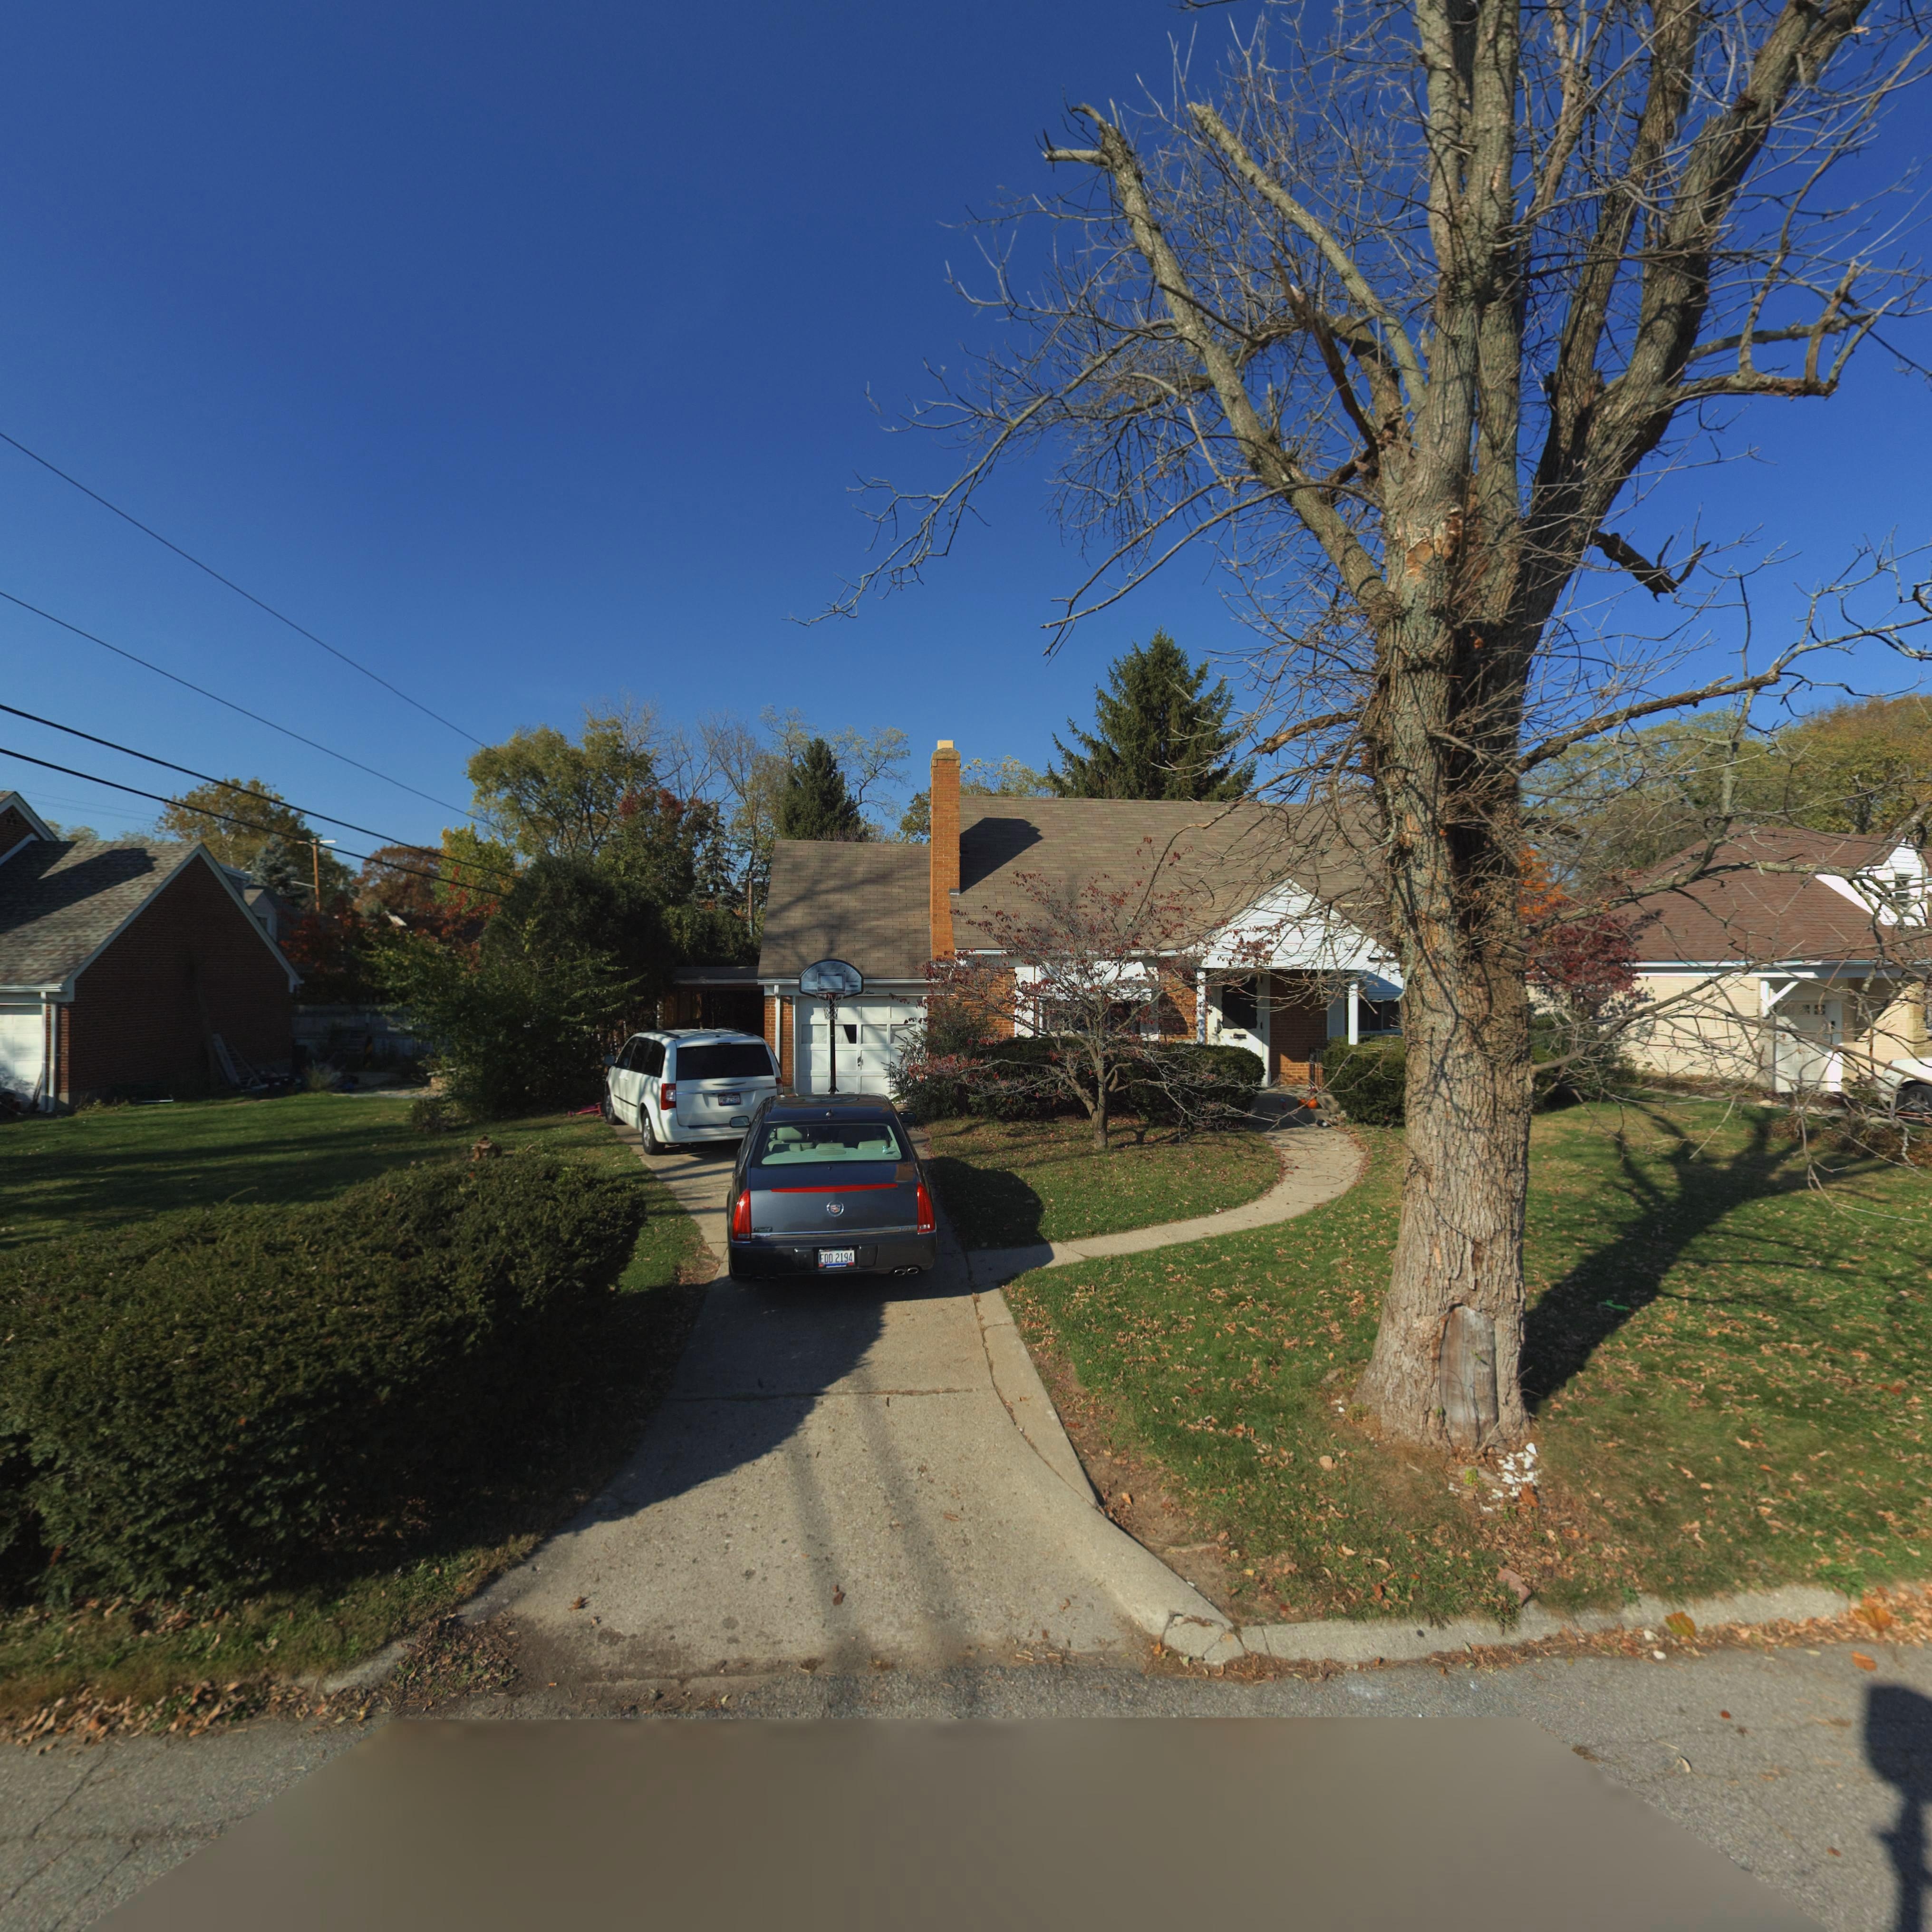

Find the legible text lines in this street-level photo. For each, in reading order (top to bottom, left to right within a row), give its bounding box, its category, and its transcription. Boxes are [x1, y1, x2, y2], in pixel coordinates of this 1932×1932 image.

[1208, 996, 1214, 1003] StreetNumber: 0